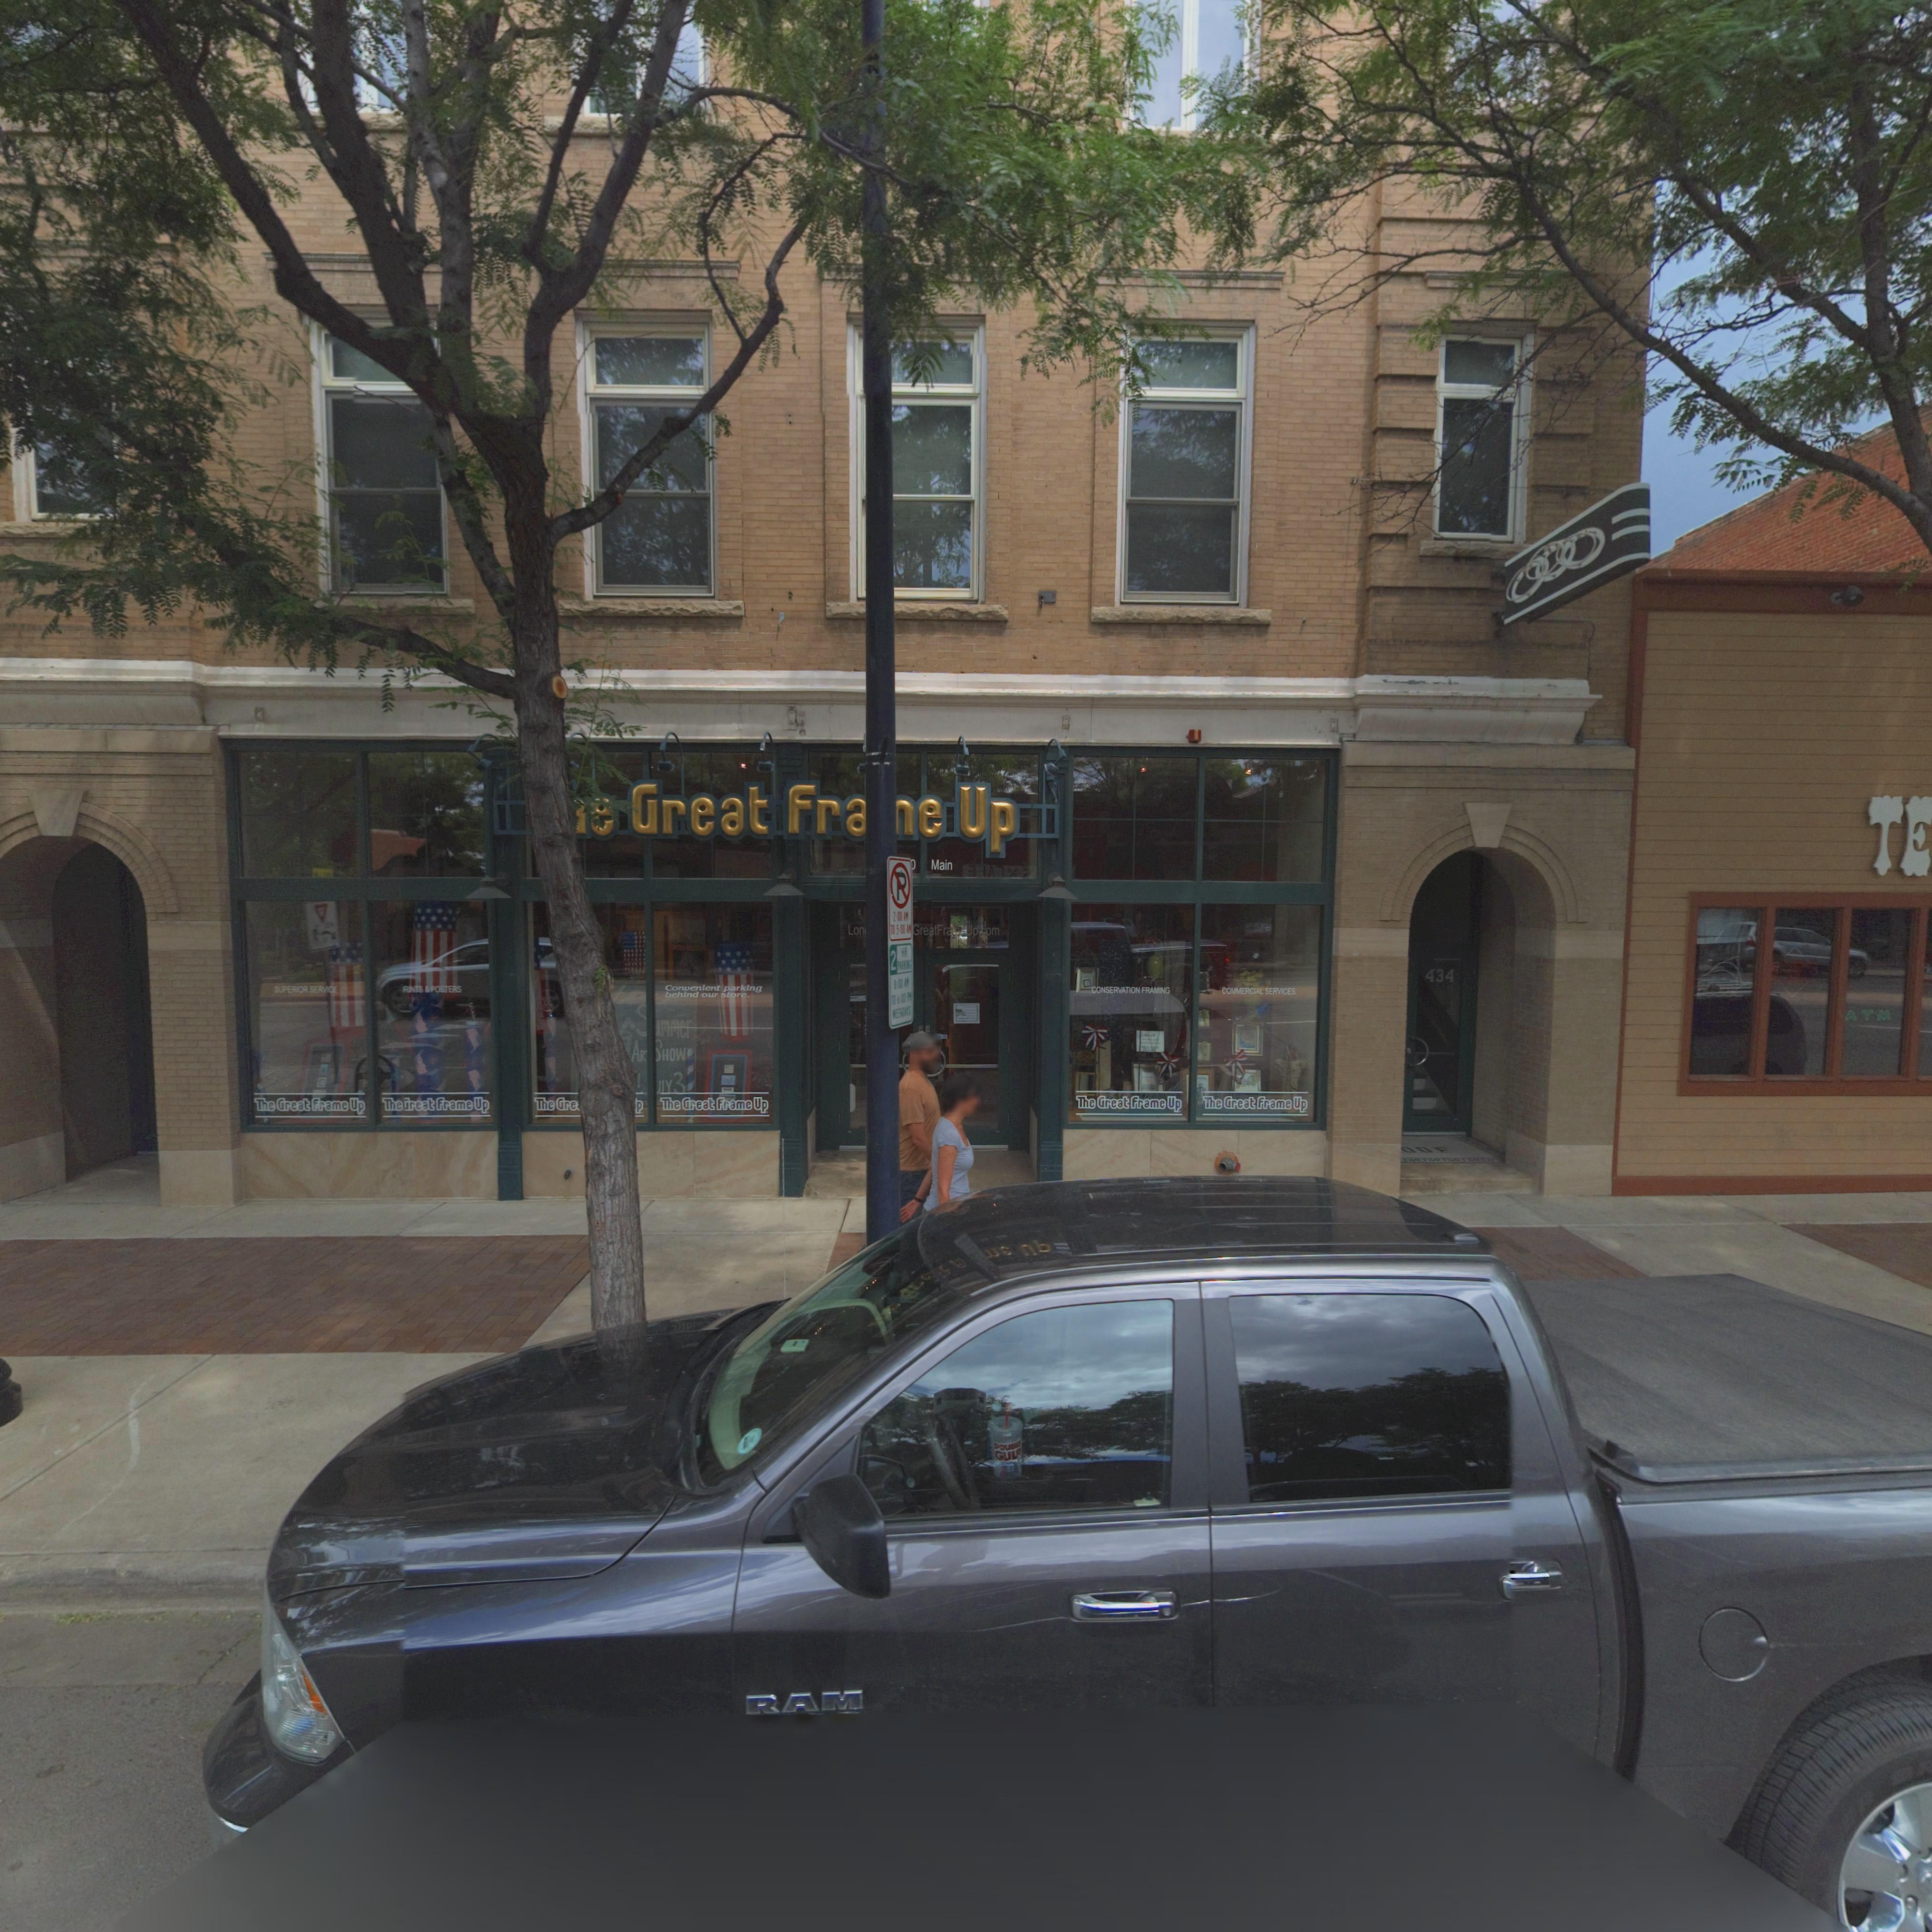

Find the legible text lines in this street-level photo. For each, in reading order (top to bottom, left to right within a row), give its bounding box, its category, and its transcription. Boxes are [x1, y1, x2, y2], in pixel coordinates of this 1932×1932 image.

[548, 781, 1018, 855] BusinessName: *he Great Fra*e Up
[1866, 794, 1930, 877] BusinessName: TE* ***
[905, 859, 916, 870] StreetNumber: **0
[931, 859, 953, 870] StreetName: Main
[1425, 967, 1455, 983] StreetNumber: 434
[254, 1097, 364, 1114] BusinessName: The Great Frame Up
[382, 1096, 489, 1113] BusinessName: The Great Frame Up
[534, 1097, 643, 1113] BusinessName: The Gre** ***** *p
[659, 1097, 768, 1112] BusinessName: The Great Frame Up
[1076, 1095, 1182, 1111] BusinessName: The Great Frame Up
[1203, 1095, 1307, 1112] BusinessName: The Great Frame Up
[1398, 1146, 1448, 1154] BusinessName: *00F